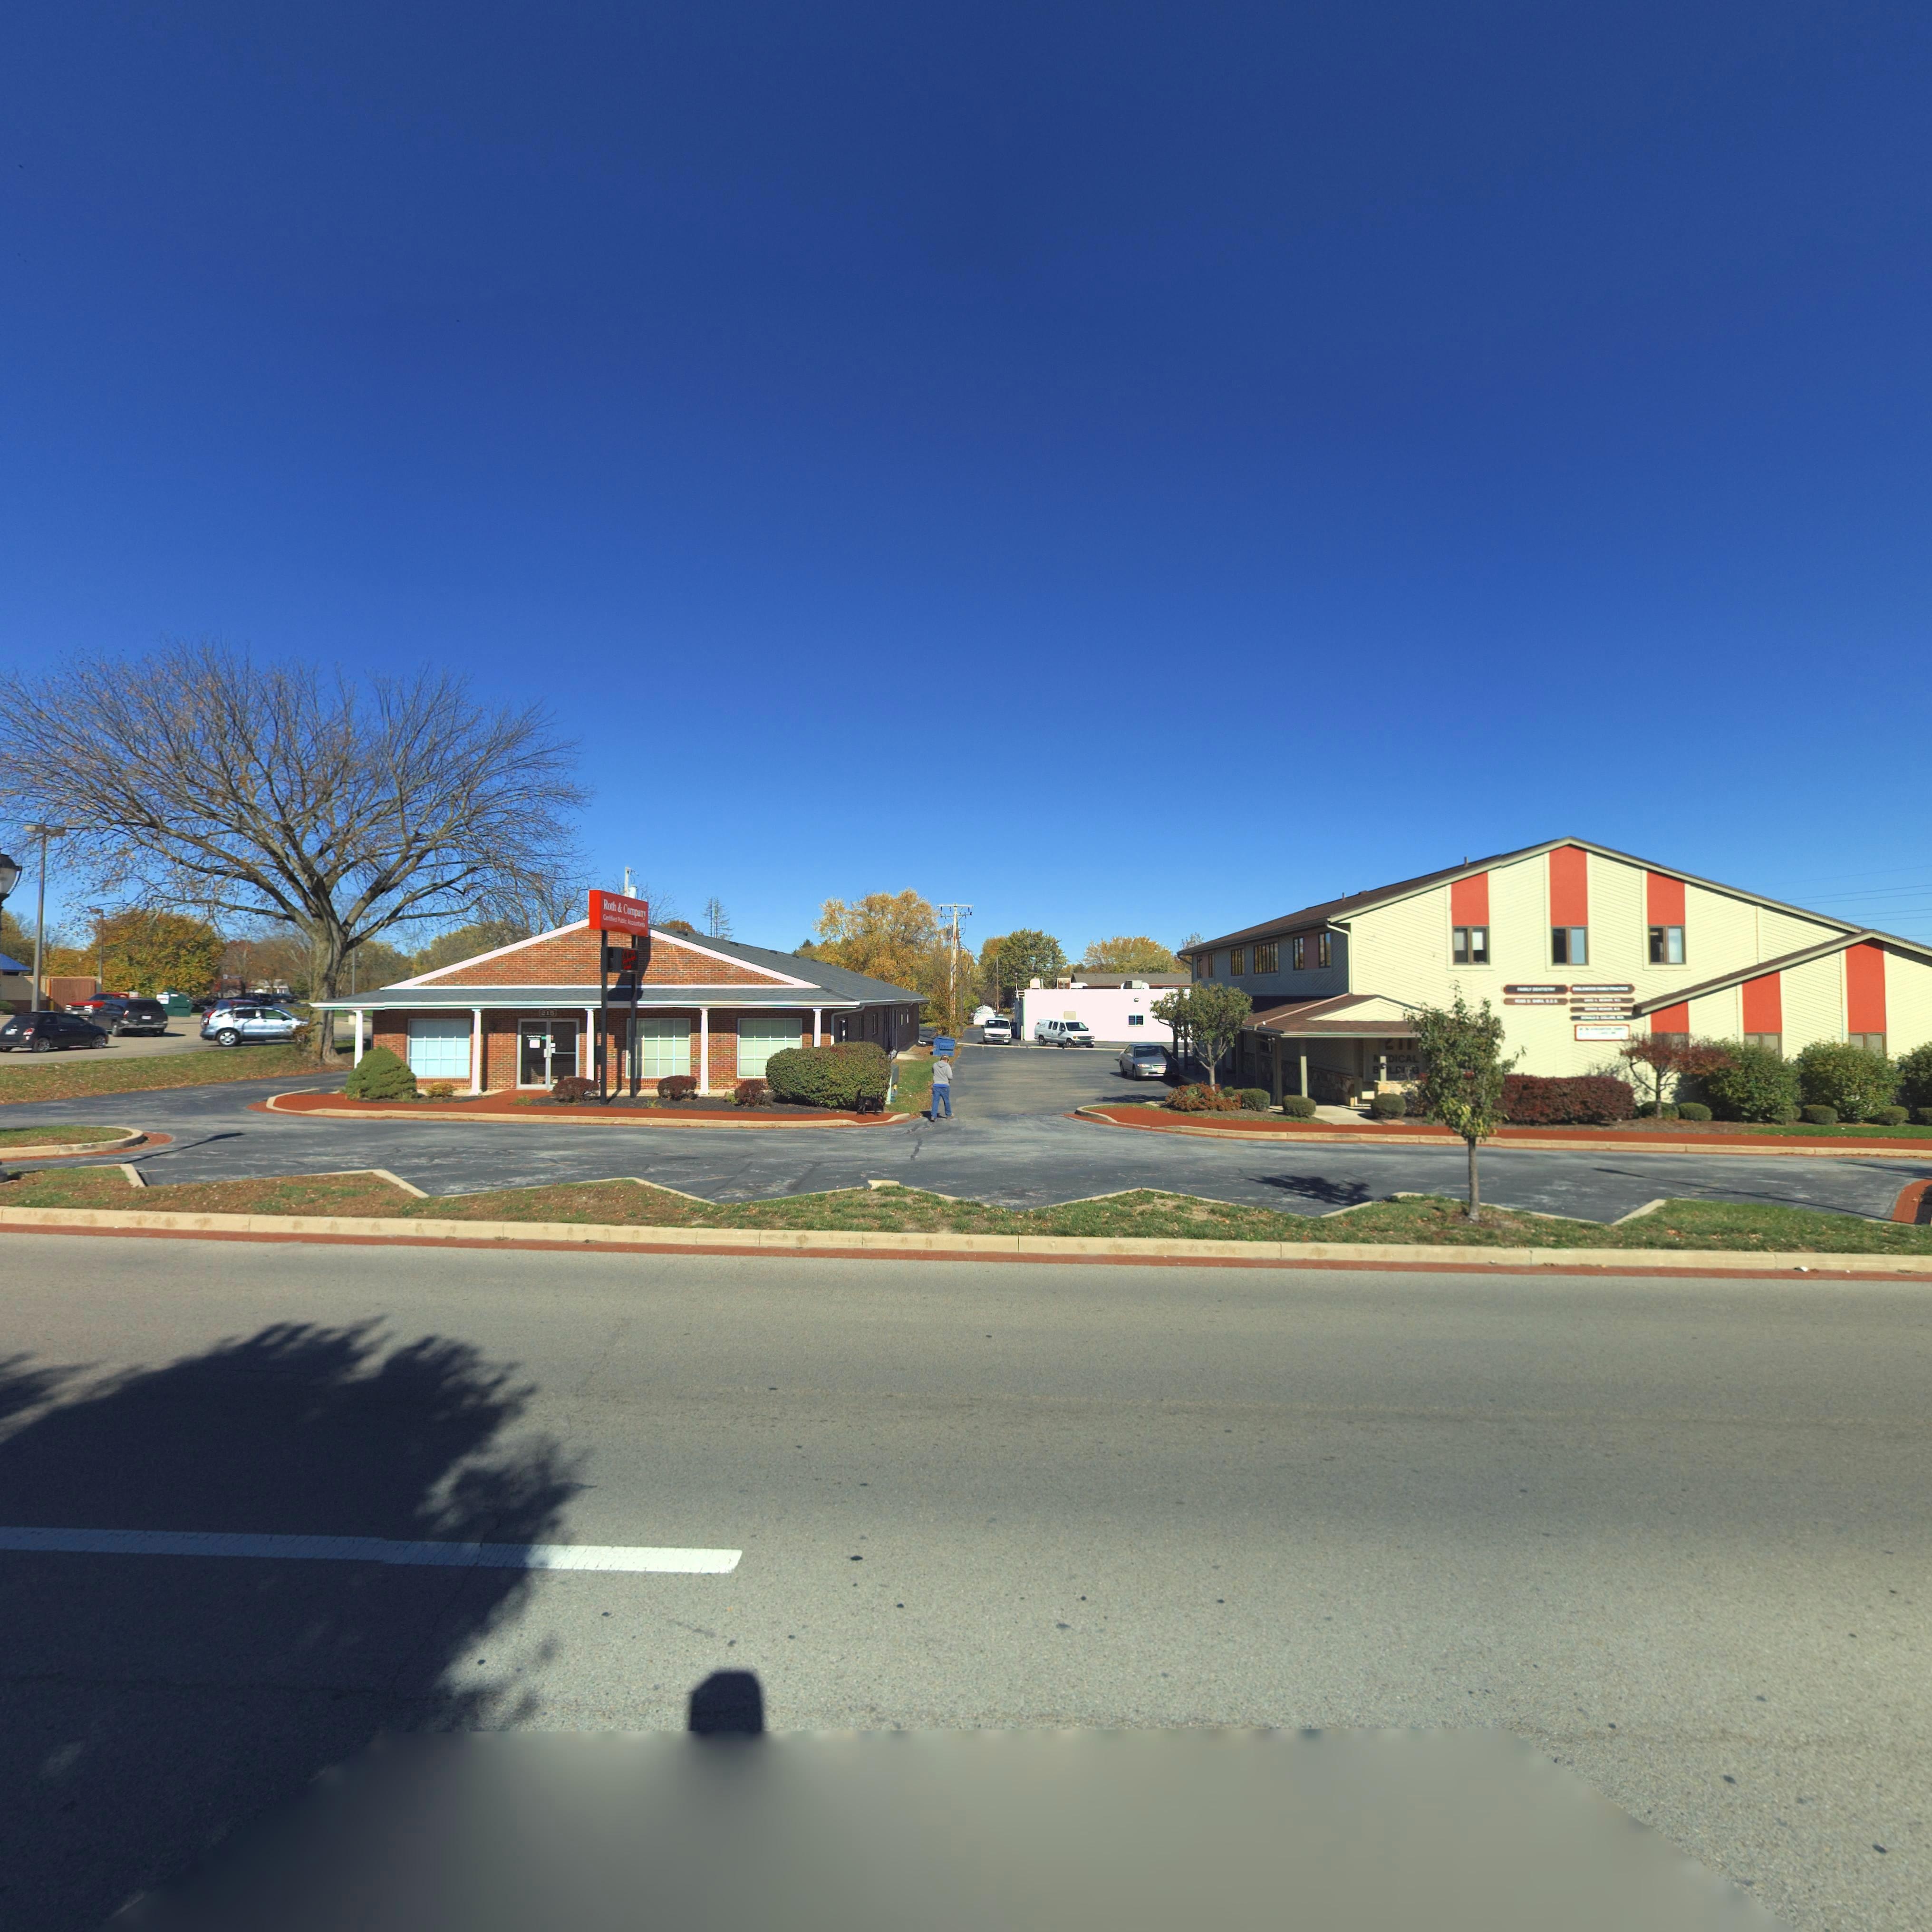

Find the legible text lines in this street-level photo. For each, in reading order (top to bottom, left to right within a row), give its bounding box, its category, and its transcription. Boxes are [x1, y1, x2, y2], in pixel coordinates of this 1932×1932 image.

[602, 898, 647, 921] BusinessName: Roth & Company
[602, 912, 646, 928] None: Certified Public Accountants
[541, 1011, 555, 1015] StreetNumber: 215
[1398, 1038, 1412, 1050] StreetNumber: 11
[1387, 1054, 1420, 1063] None: DICAL
[1372, 1065, 1420, 1075] None: B**L***G